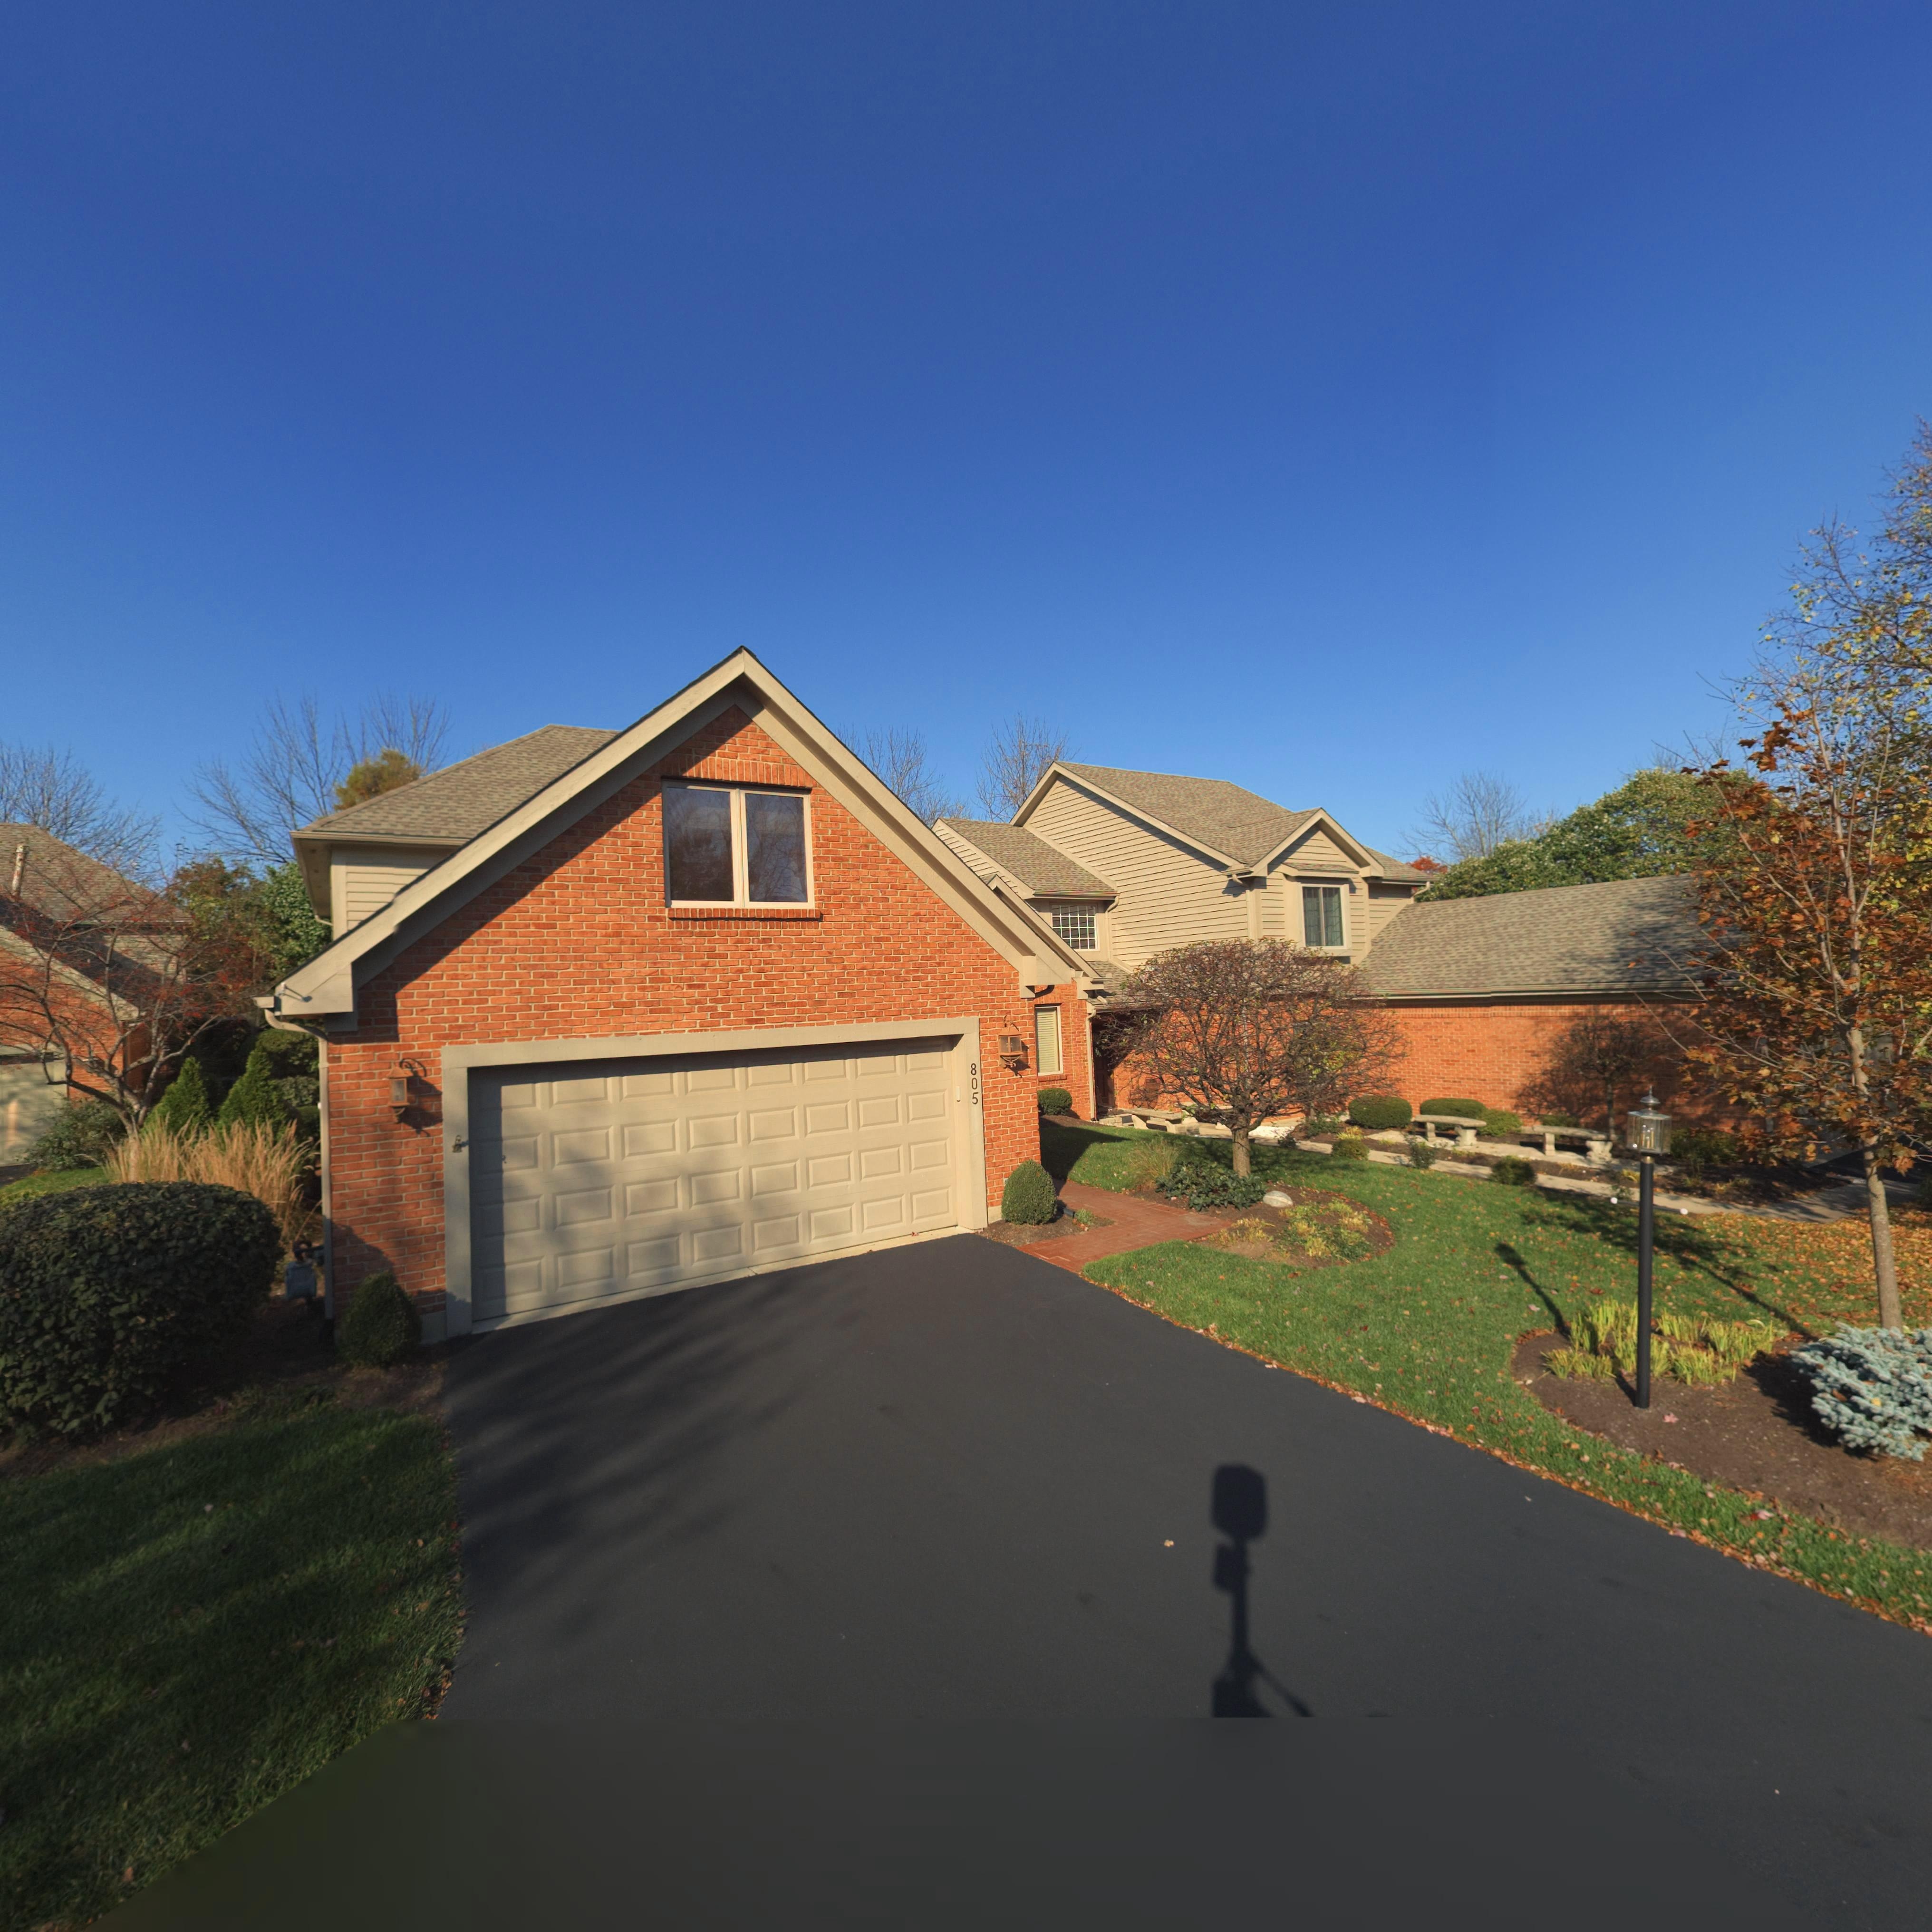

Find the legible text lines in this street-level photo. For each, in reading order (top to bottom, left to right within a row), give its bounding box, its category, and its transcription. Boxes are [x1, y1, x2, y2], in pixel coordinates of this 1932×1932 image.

[968, 1061, 980, 1107] StreetNumber: 805